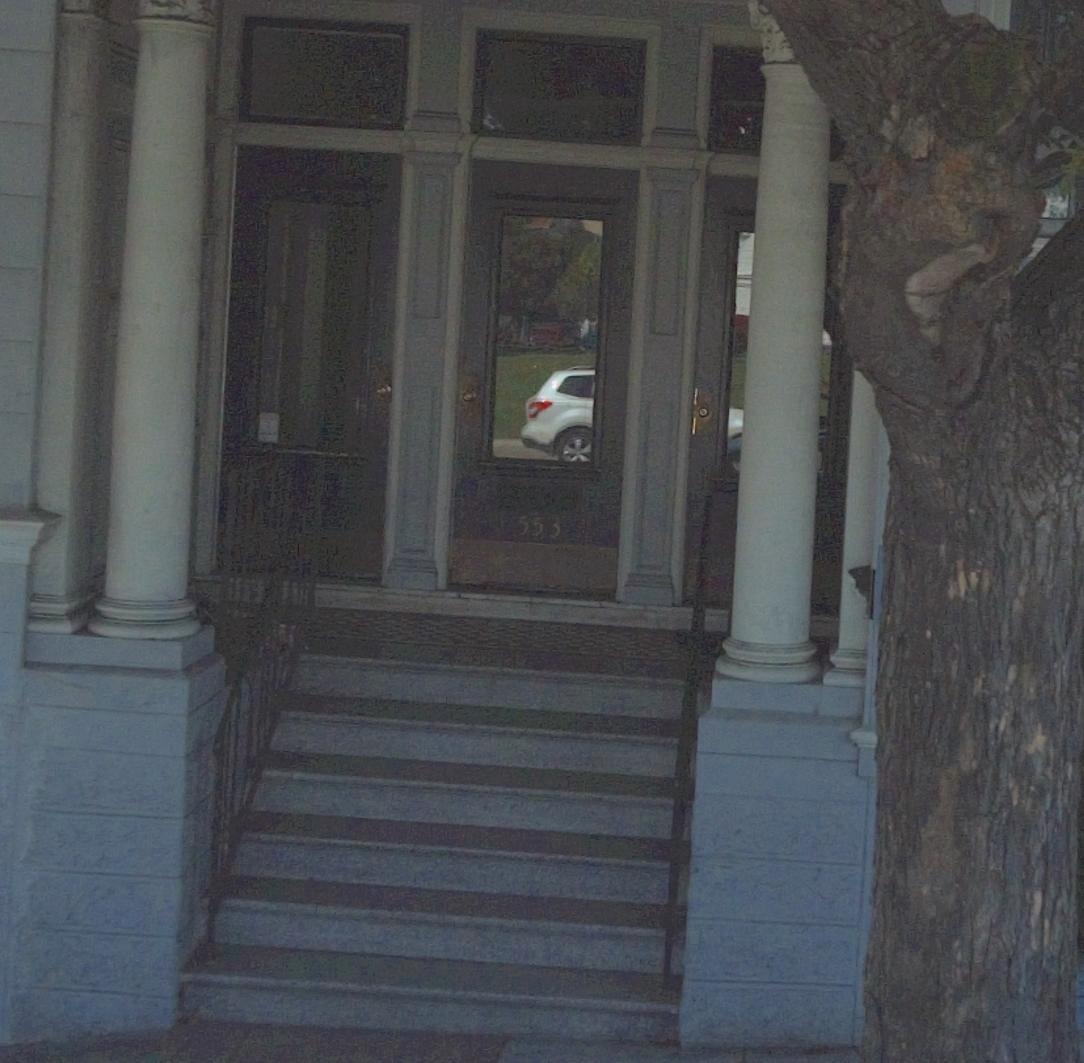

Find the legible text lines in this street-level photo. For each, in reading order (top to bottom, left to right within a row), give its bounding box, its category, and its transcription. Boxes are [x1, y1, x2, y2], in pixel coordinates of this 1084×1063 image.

[516, 514, 562, 539] StreetNumber: 553